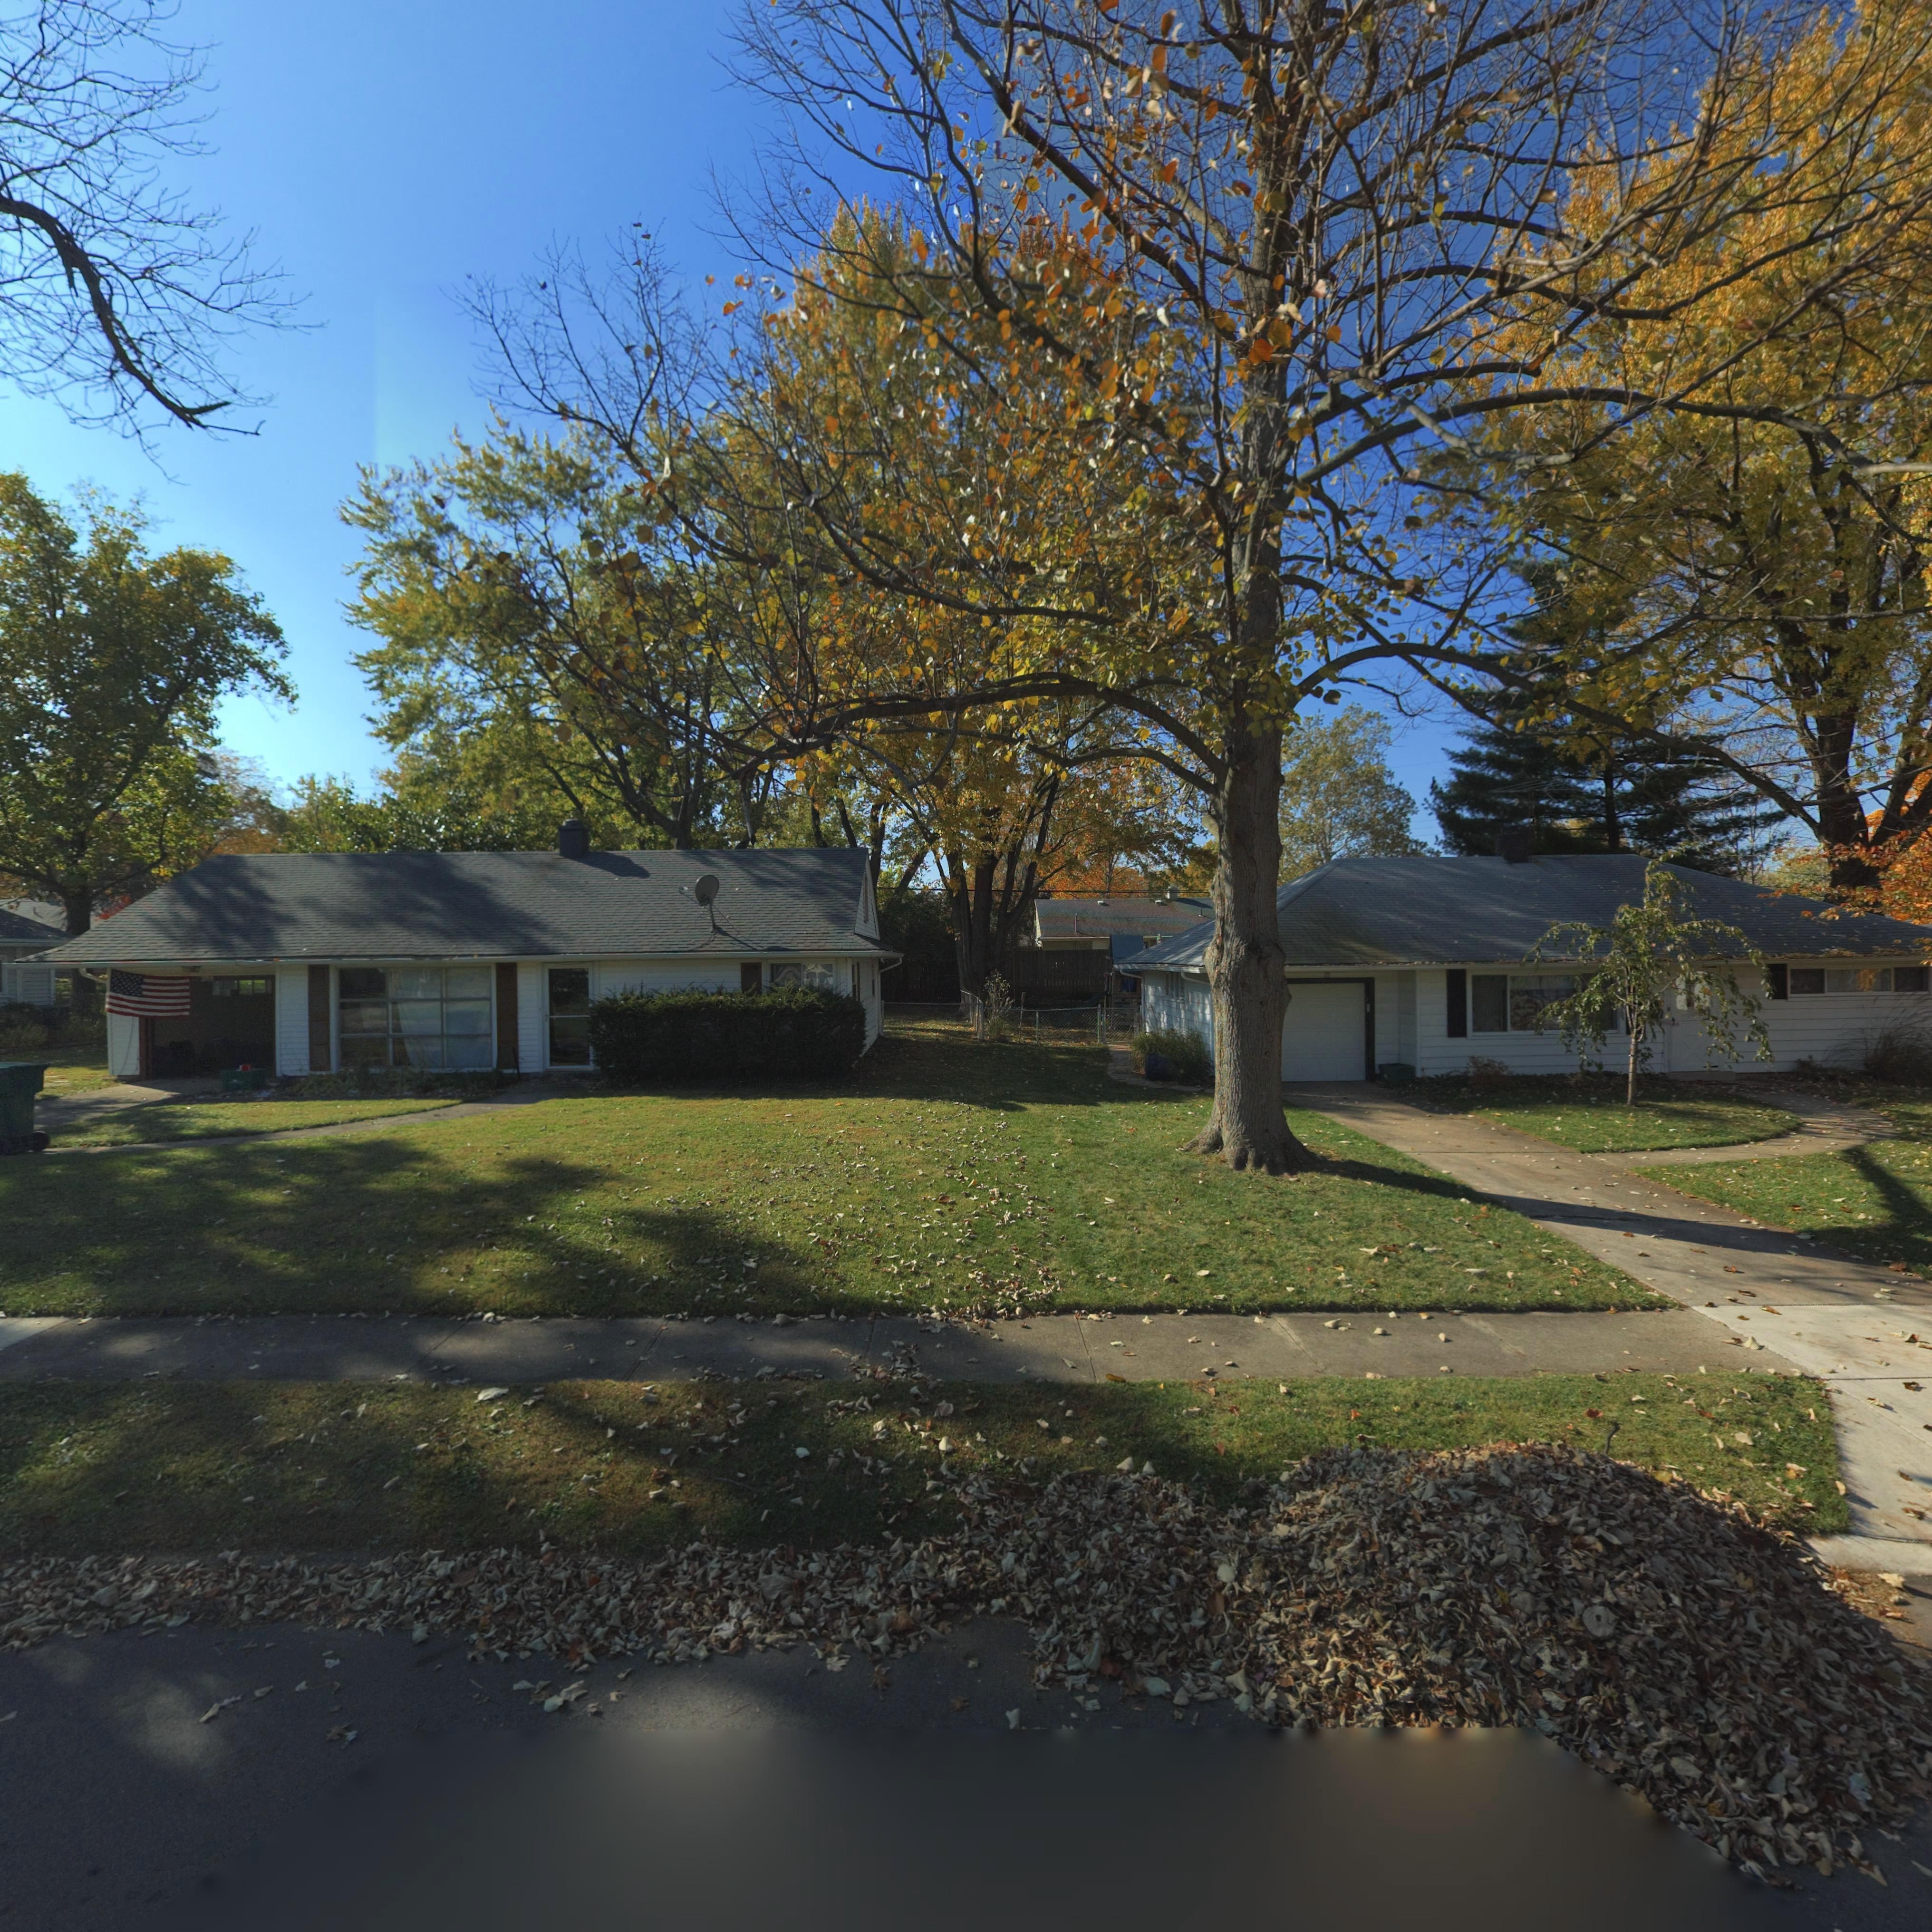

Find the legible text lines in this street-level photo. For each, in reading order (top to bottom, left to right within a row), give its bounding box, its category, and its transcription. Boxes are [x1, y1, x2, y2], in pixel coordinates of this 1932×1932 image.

[200, 976, 214, 982] StreetNumber: 3*49